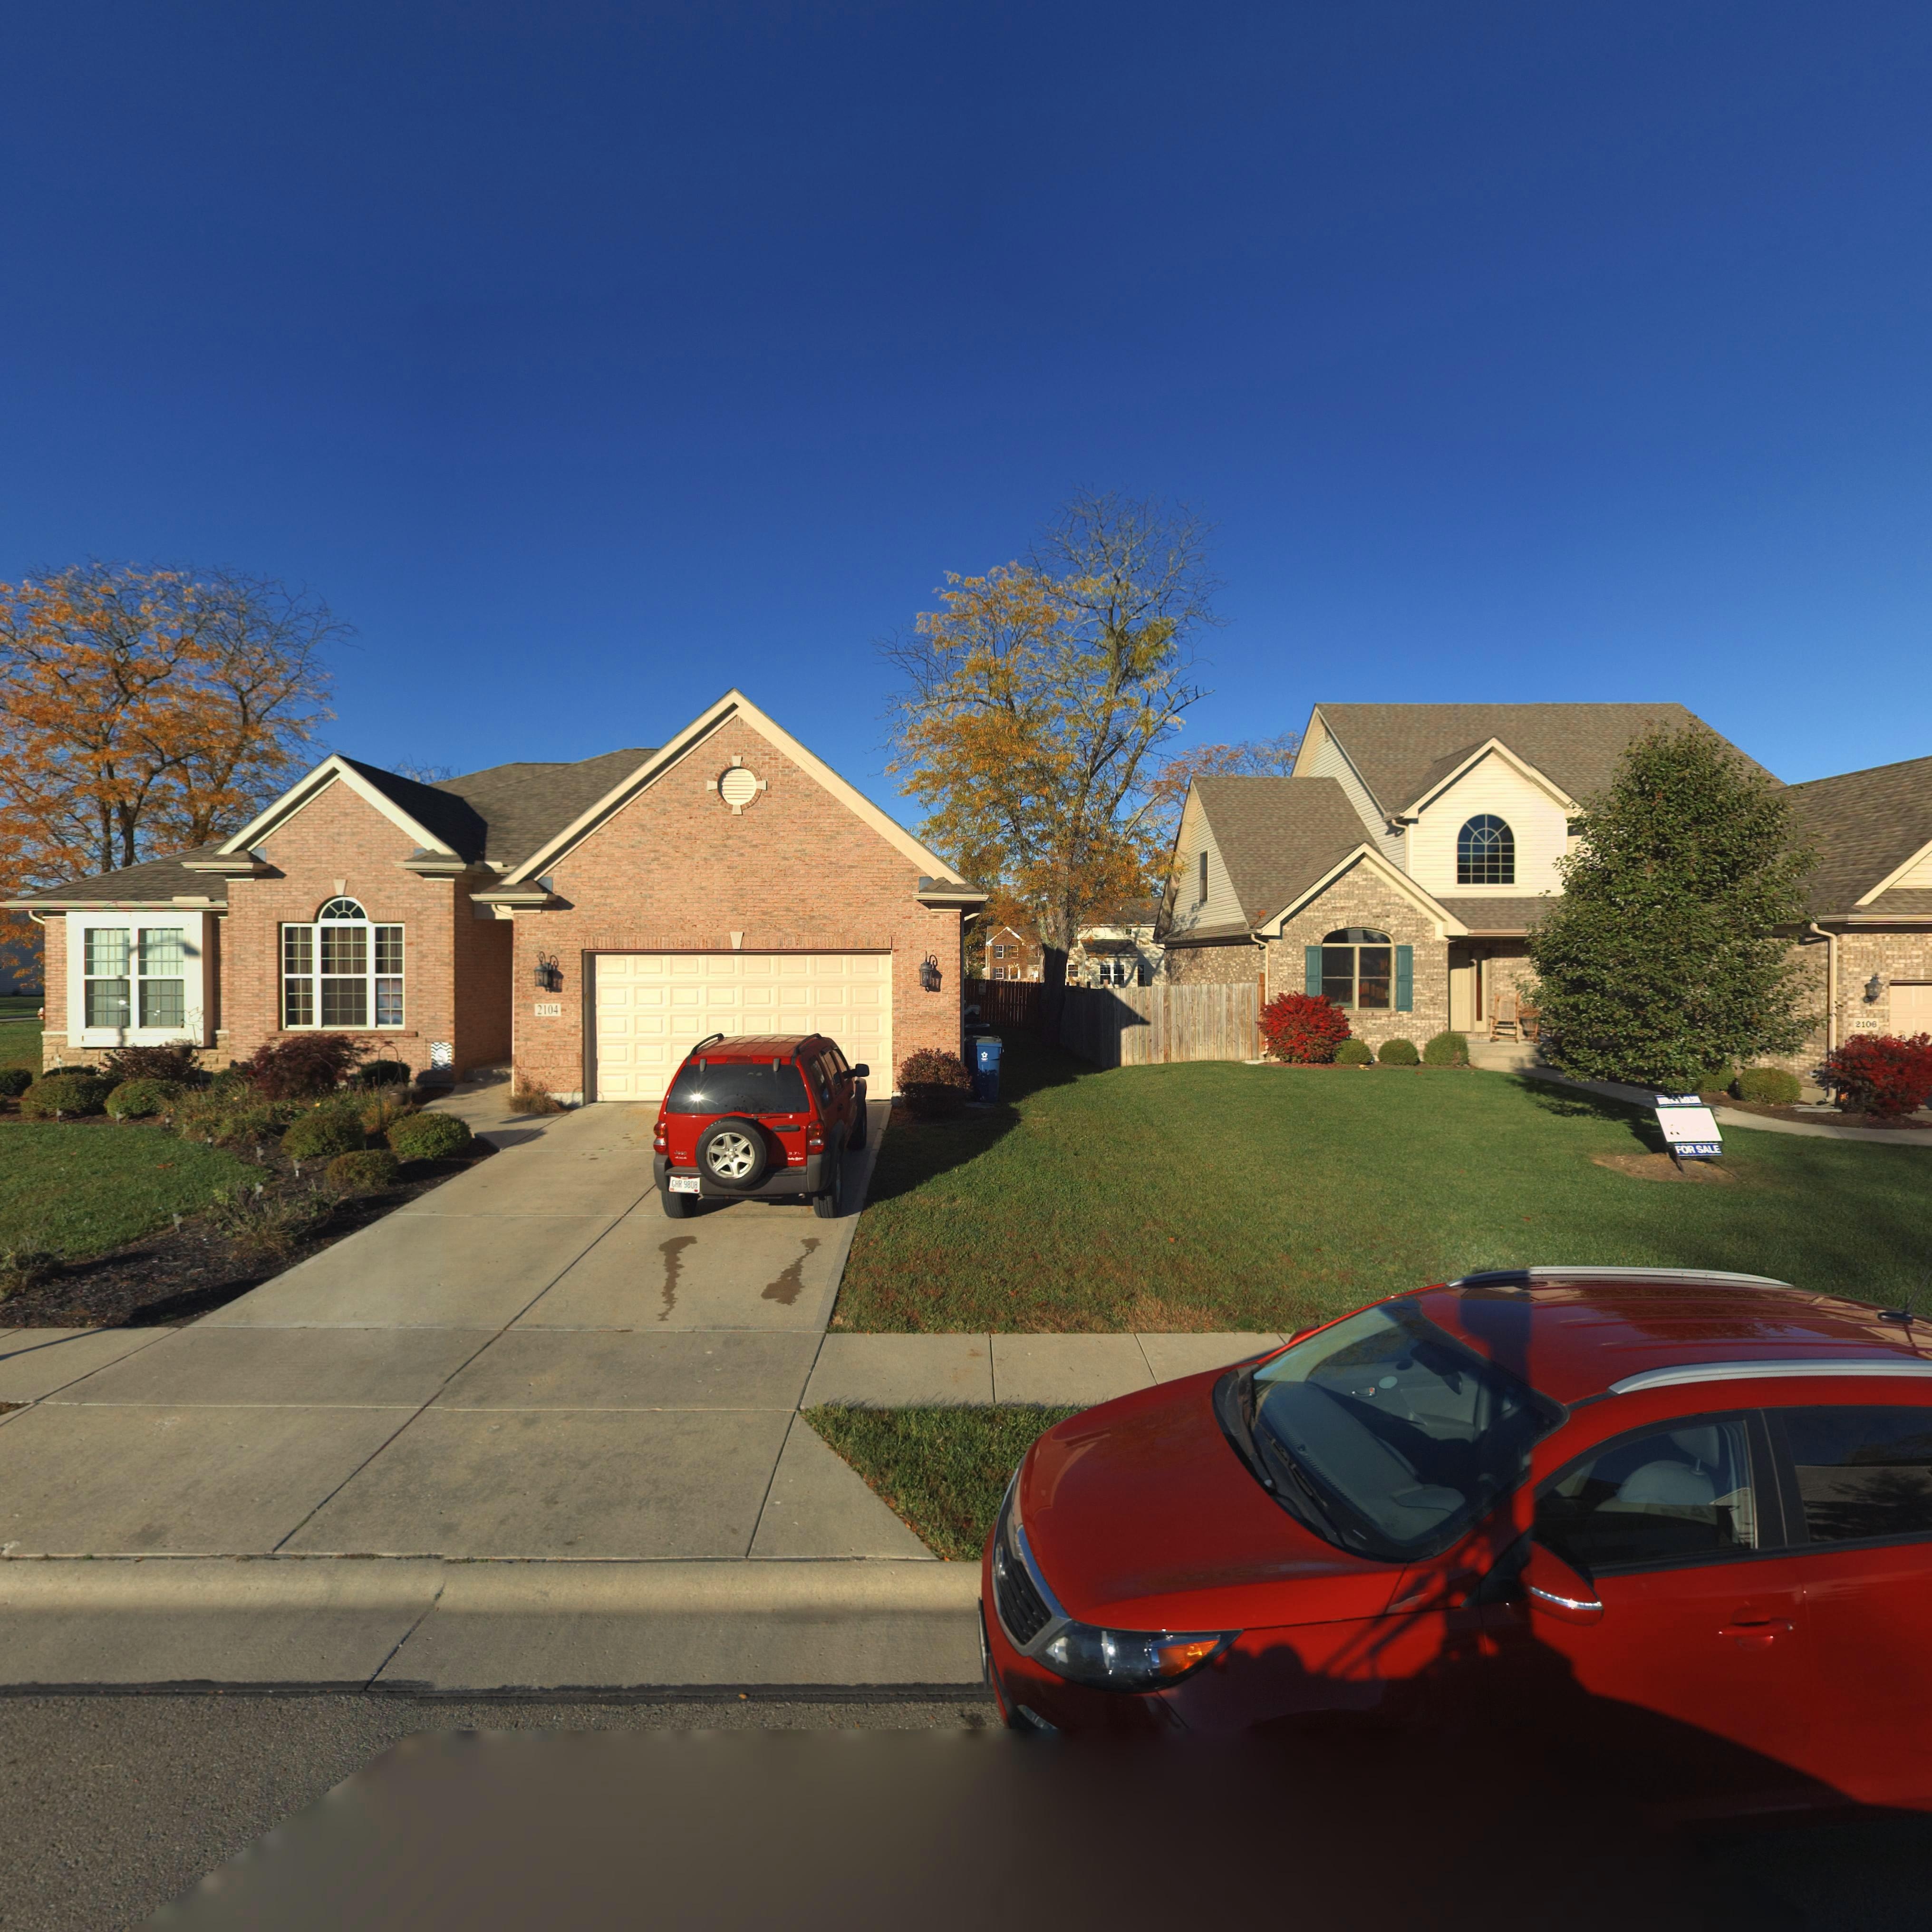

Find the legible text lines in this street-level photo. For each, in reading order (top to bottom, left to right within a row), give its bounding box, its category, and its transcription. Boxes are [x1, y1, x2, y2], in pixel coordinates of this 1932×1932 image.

[537, 1005, 559, 1014] StreetNumber: 2104
[1855, 1020, 1877, 1028] StreetNumber: 2106